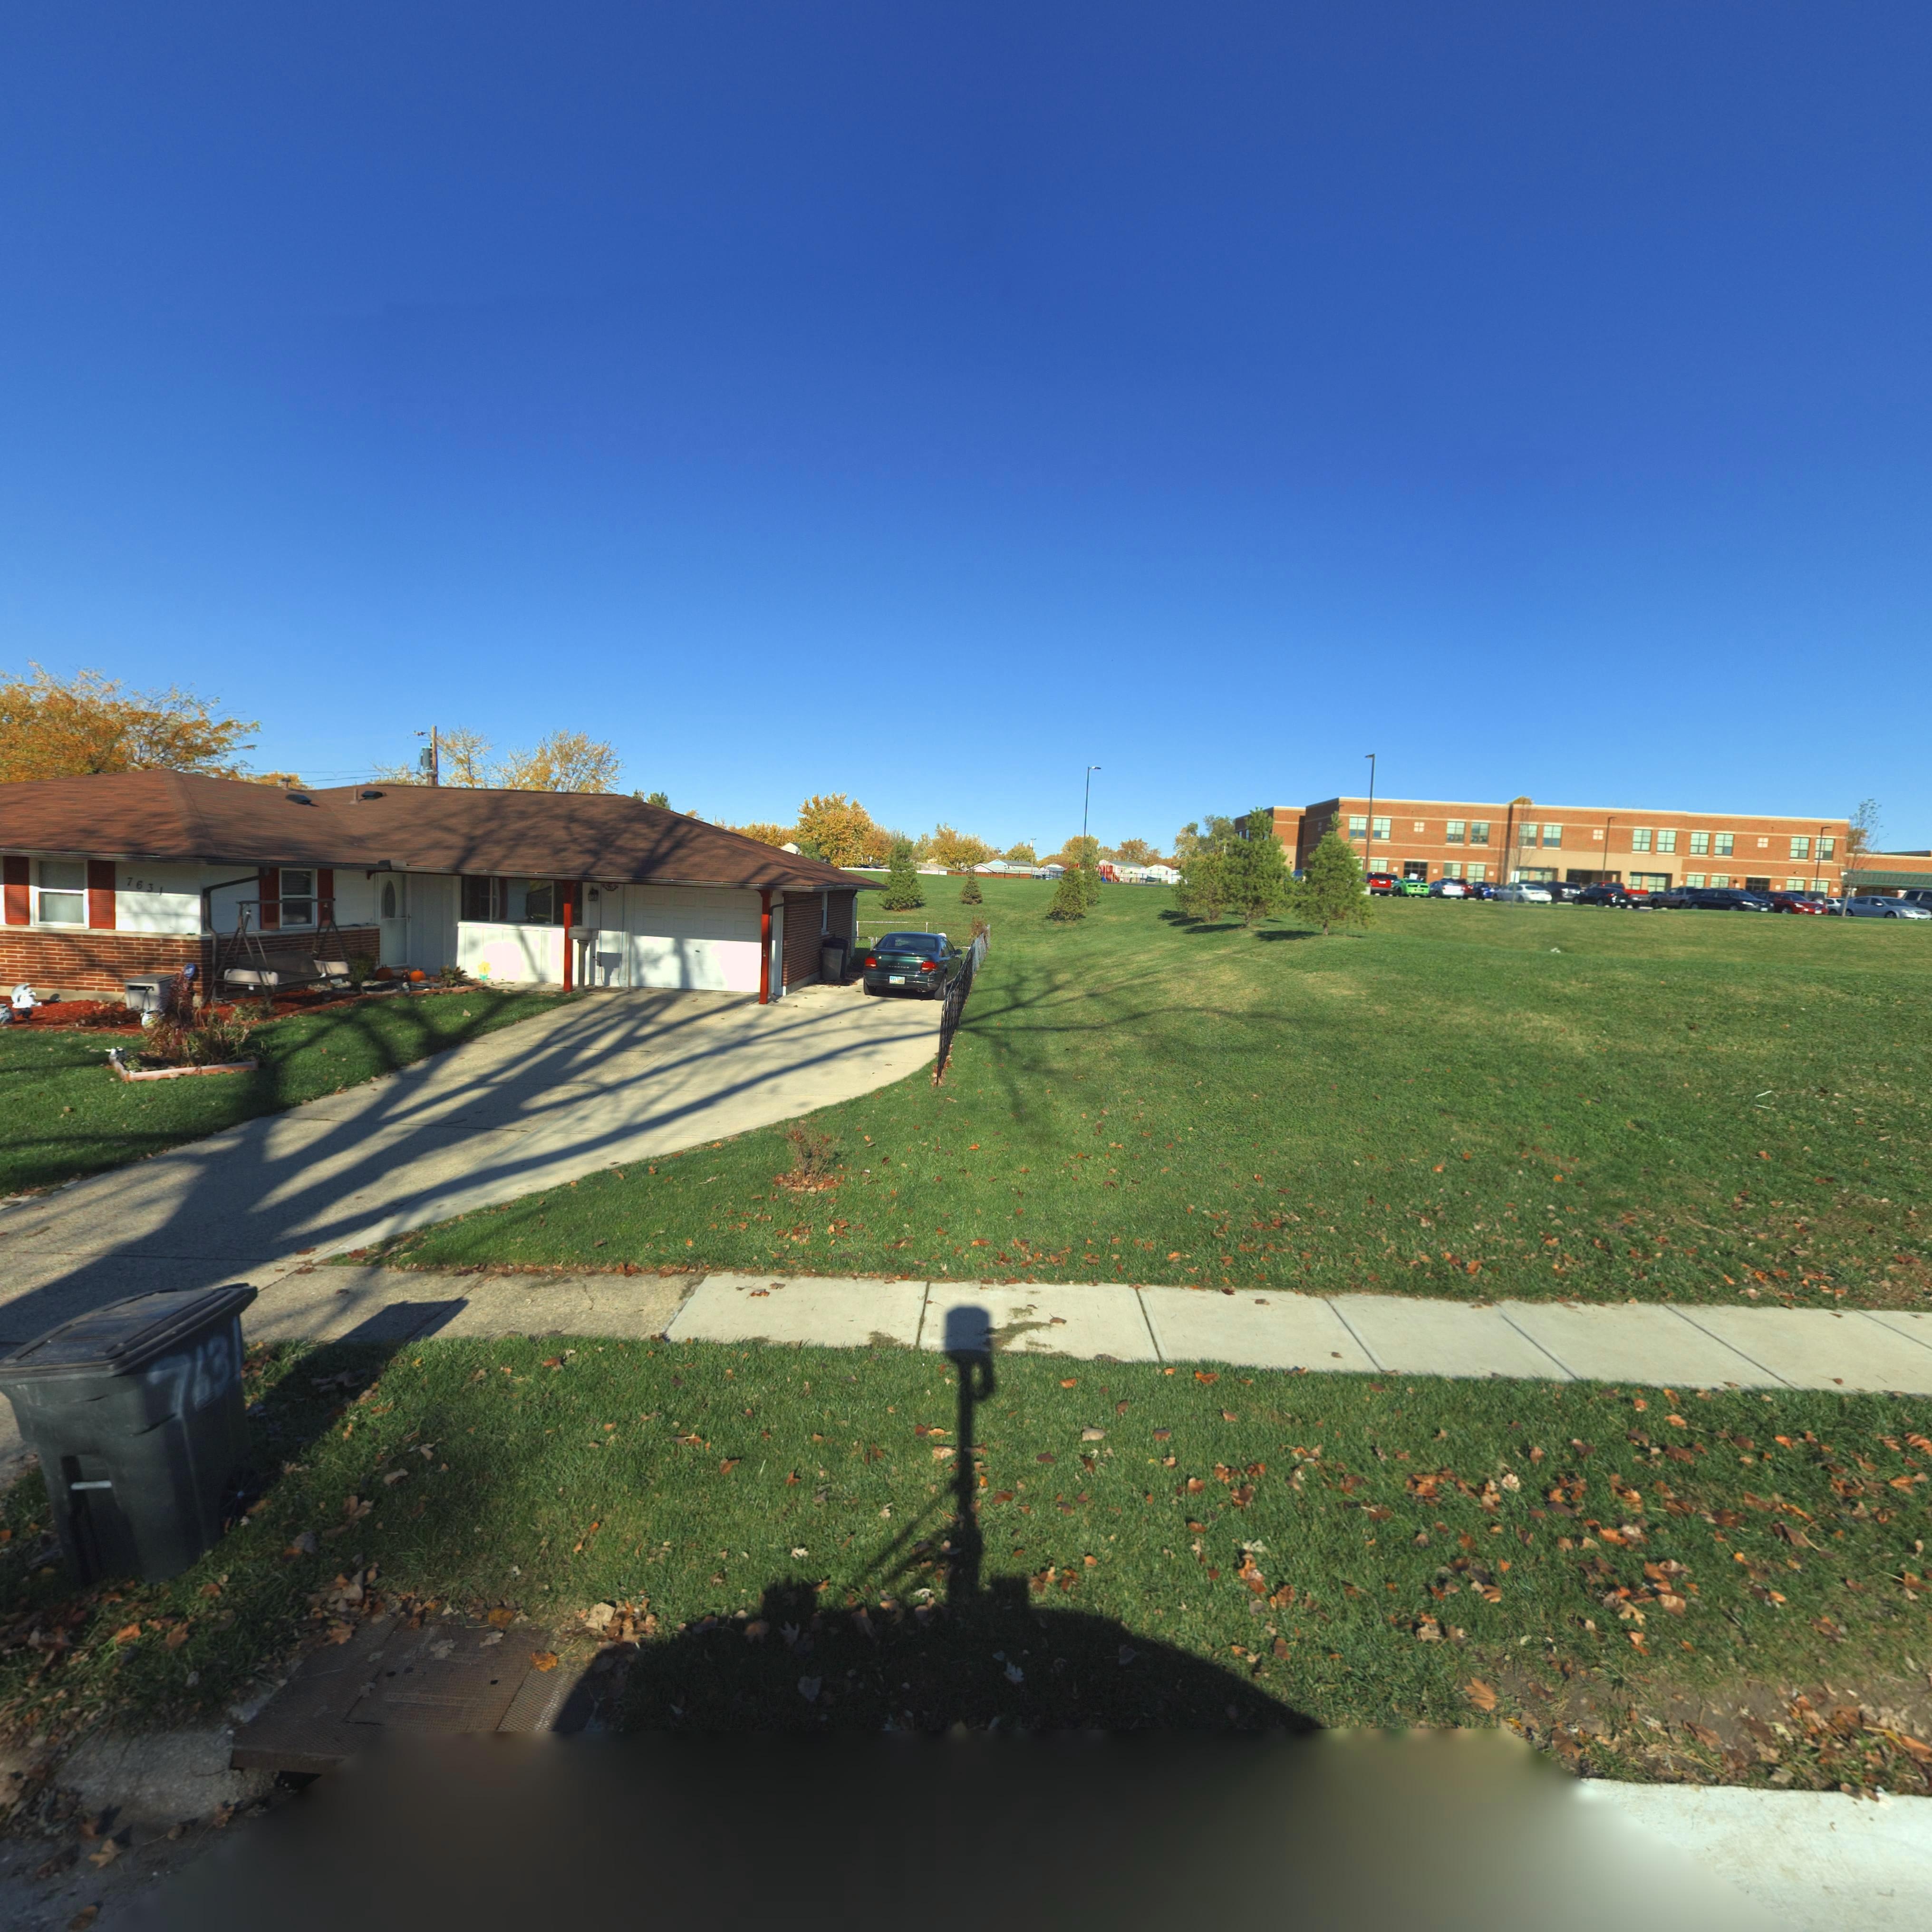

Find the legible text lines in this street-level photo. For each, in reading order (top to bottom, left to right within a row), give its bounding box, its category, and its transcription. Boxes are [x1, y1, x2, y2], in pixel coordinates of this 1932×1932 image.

[126, 876, 164, 897] StreetNumber: 7631
[141, 1312, 243, 1424] StreetNumber: 7631